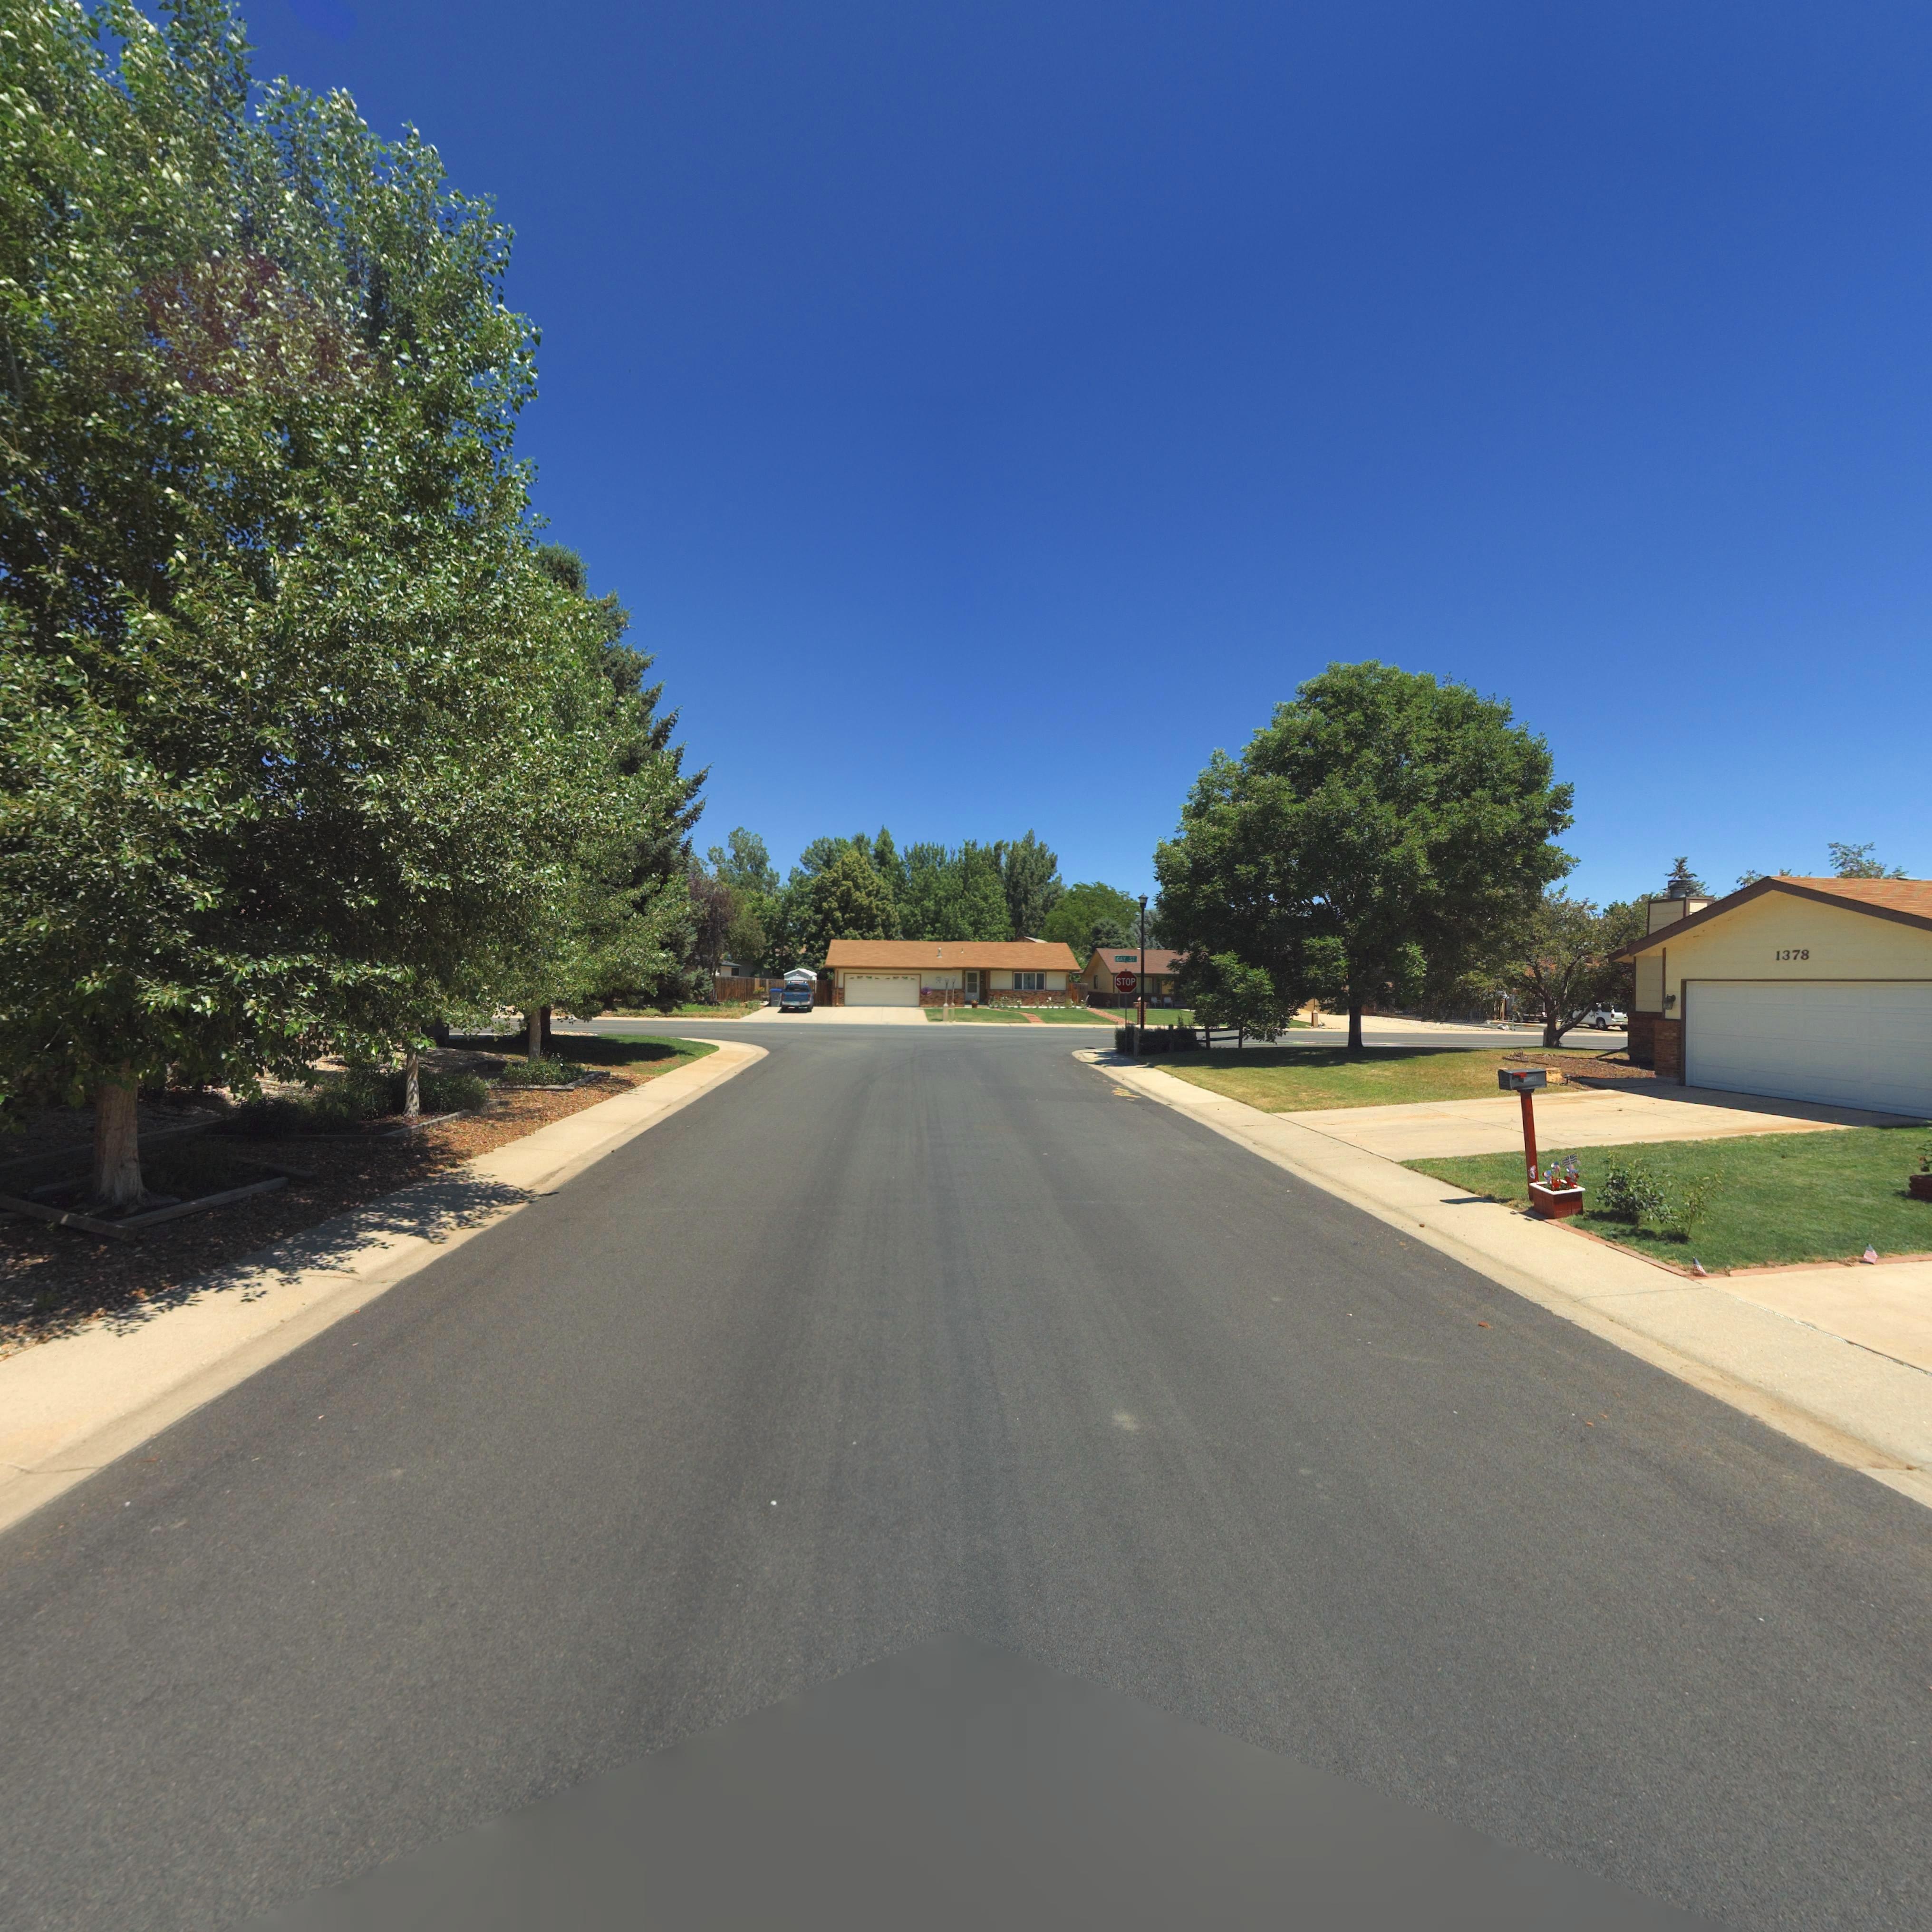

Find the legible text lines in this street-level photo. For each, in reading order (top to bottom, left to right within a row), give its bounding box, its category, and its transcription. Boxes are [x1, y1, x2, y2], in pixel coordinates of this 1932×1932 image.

[1116, 956, 1135, 962] StreetName: GAY ST
[1776, 949, 1809, 960] StreetNumber: 1378